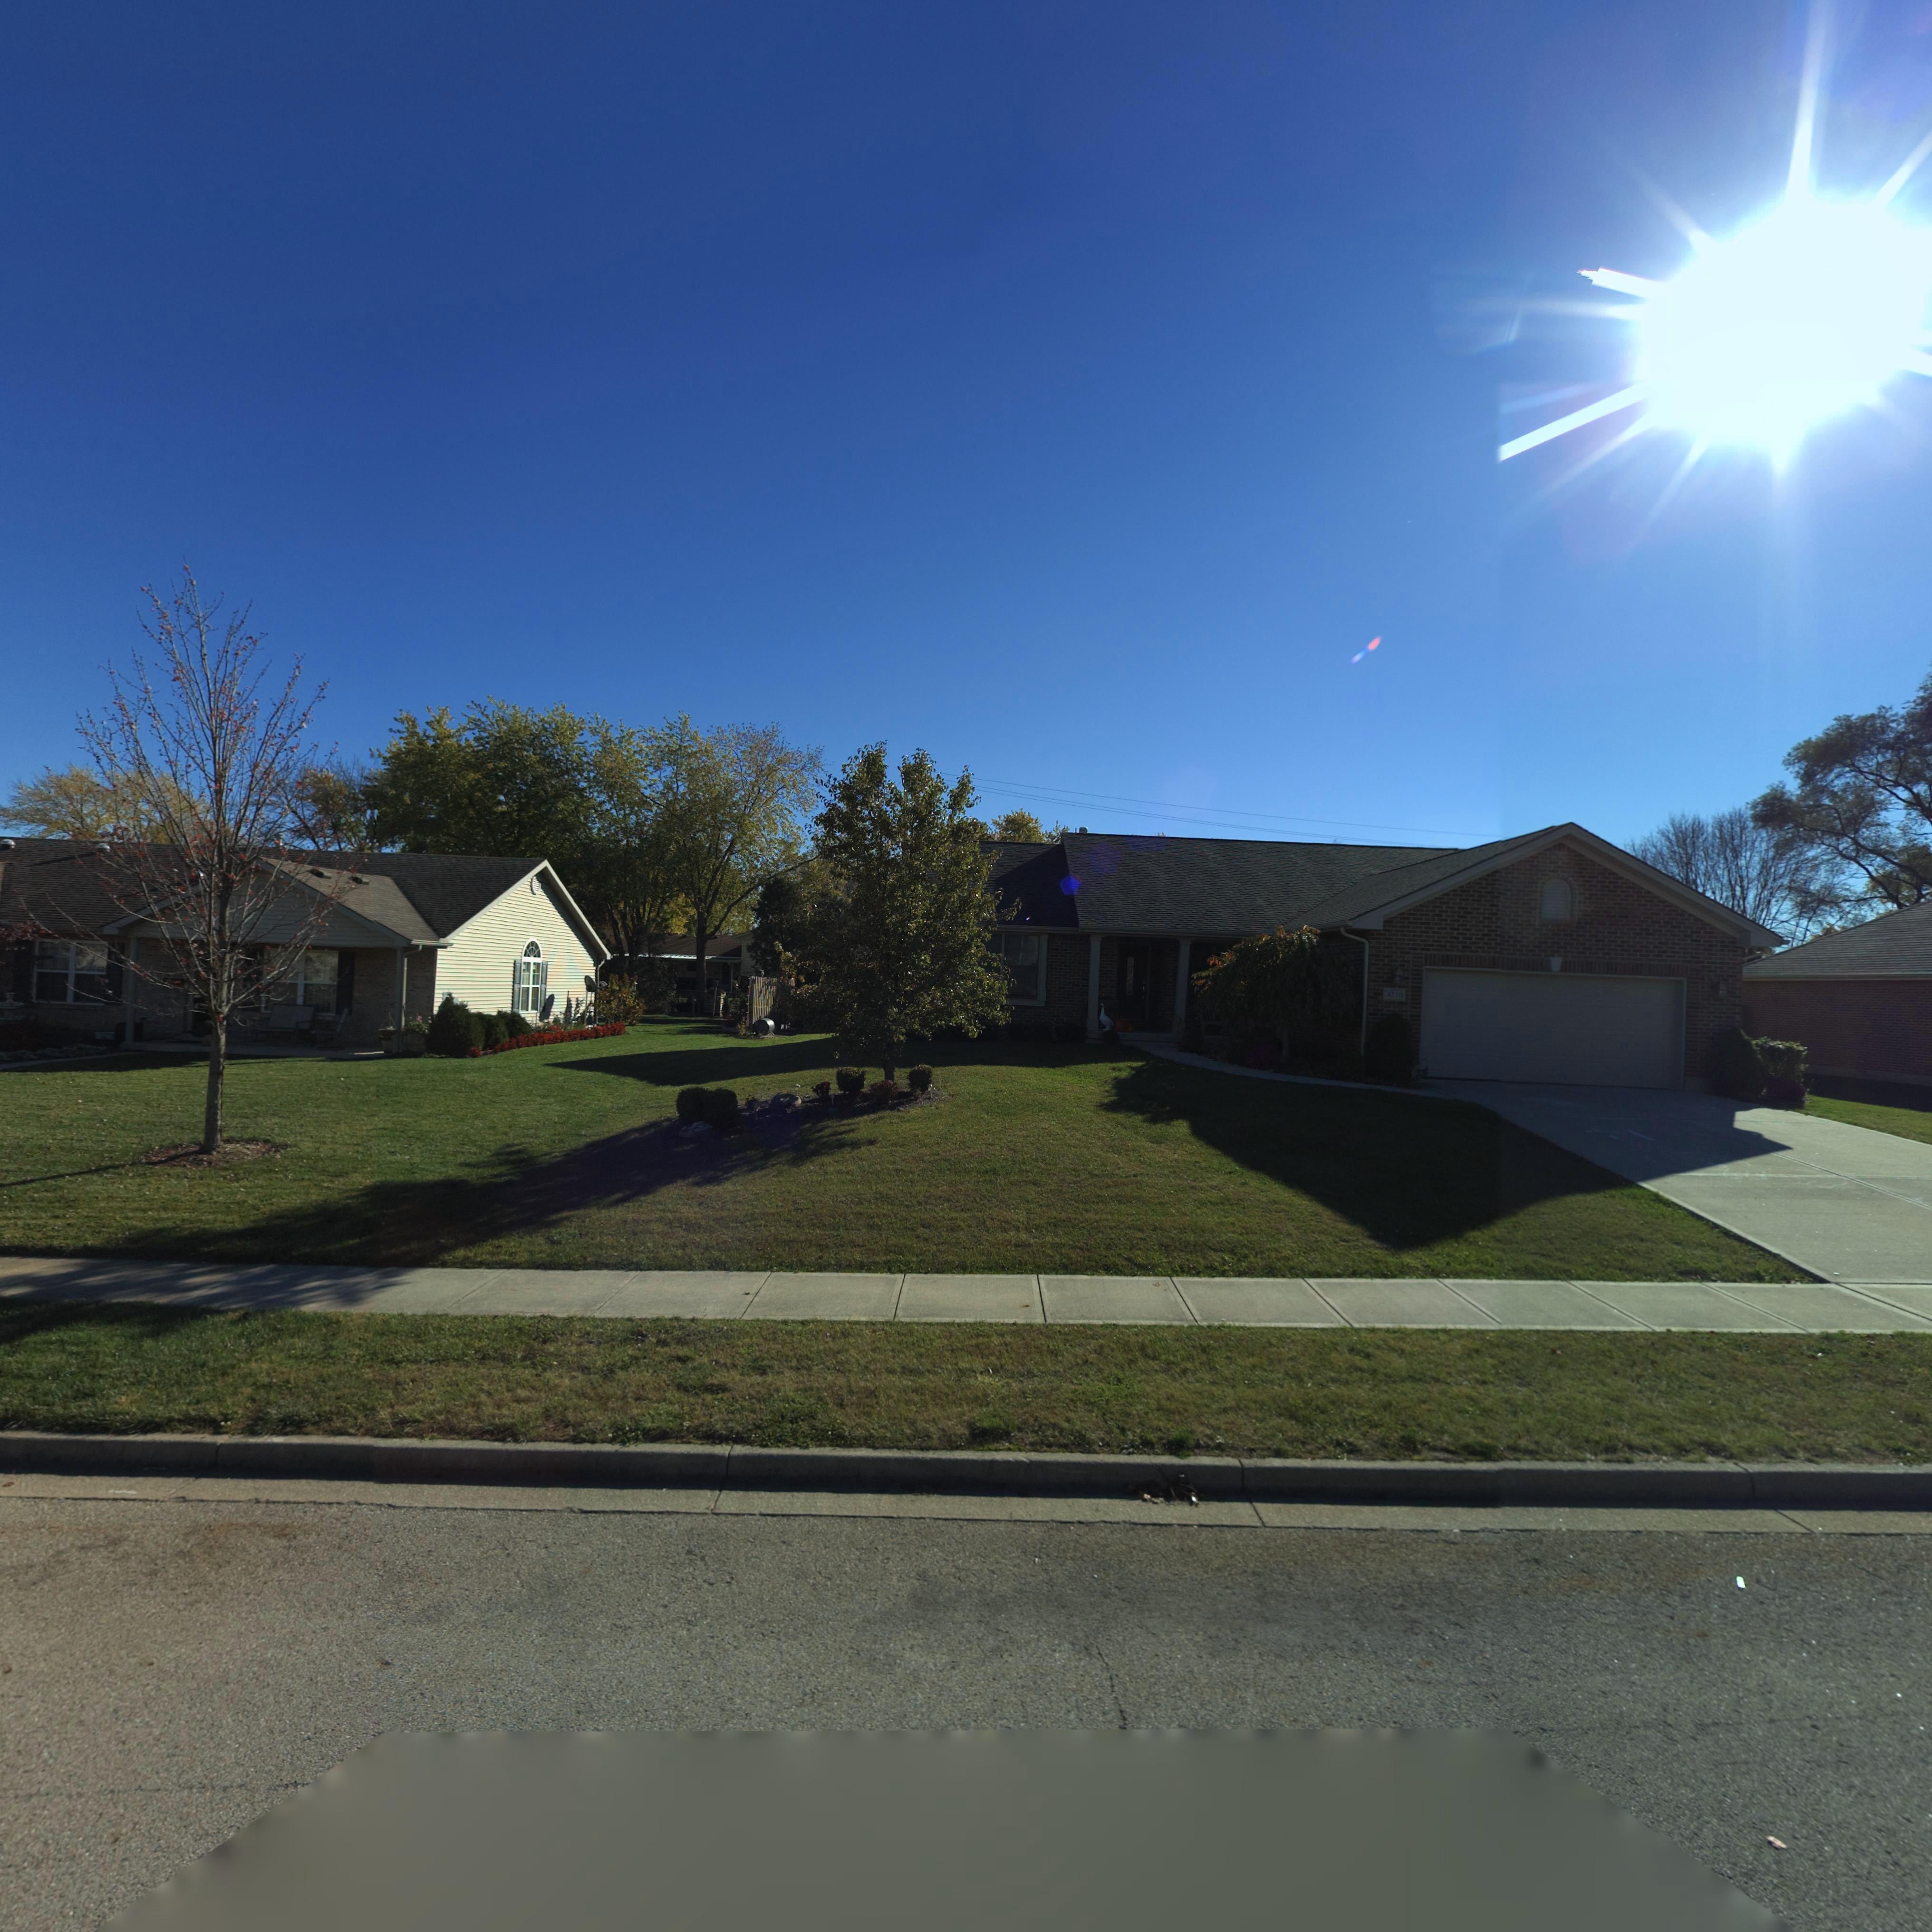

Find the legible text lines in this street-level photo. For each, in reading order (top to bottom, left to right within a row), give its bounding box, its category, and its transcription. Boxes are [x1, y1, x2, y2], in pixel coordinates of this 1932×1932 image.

[1385, 990, 1404, 1000] StreetNumber: 4510